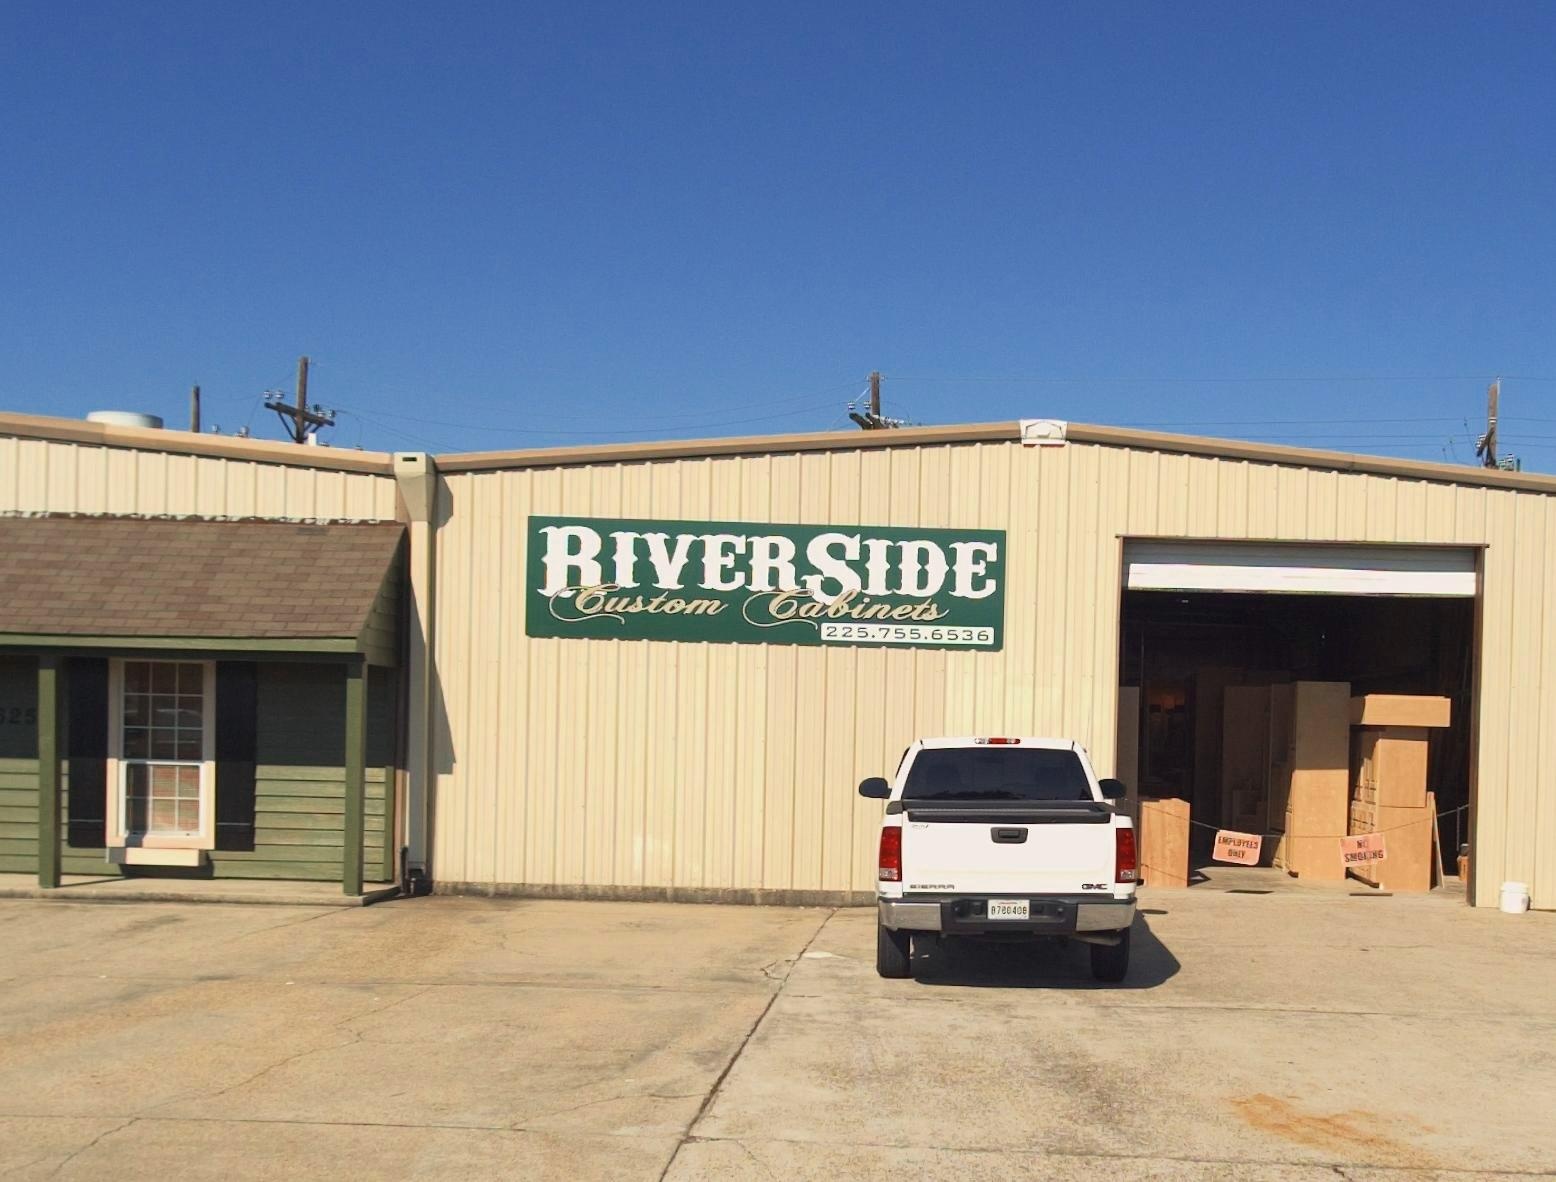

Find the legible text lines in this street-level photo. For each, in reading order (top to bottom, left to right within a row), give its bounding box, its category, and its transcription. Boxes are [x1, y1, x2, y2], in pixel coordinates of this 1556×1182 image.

[534, 523, 1000, 607] BusinessName: RIVERSIDE
[570, 580, 942, 623] BusinessName: Custom Cabinets
[823, 623, 993, 644] None: 225.755.6536
[1353, 835, 1372, 853] None: N*
[1341, 846, 1386, 866] None: SMO***G
[1094, 881, 1109, 894] None: C
[994, 902, 1029, 918] None: 7*040*